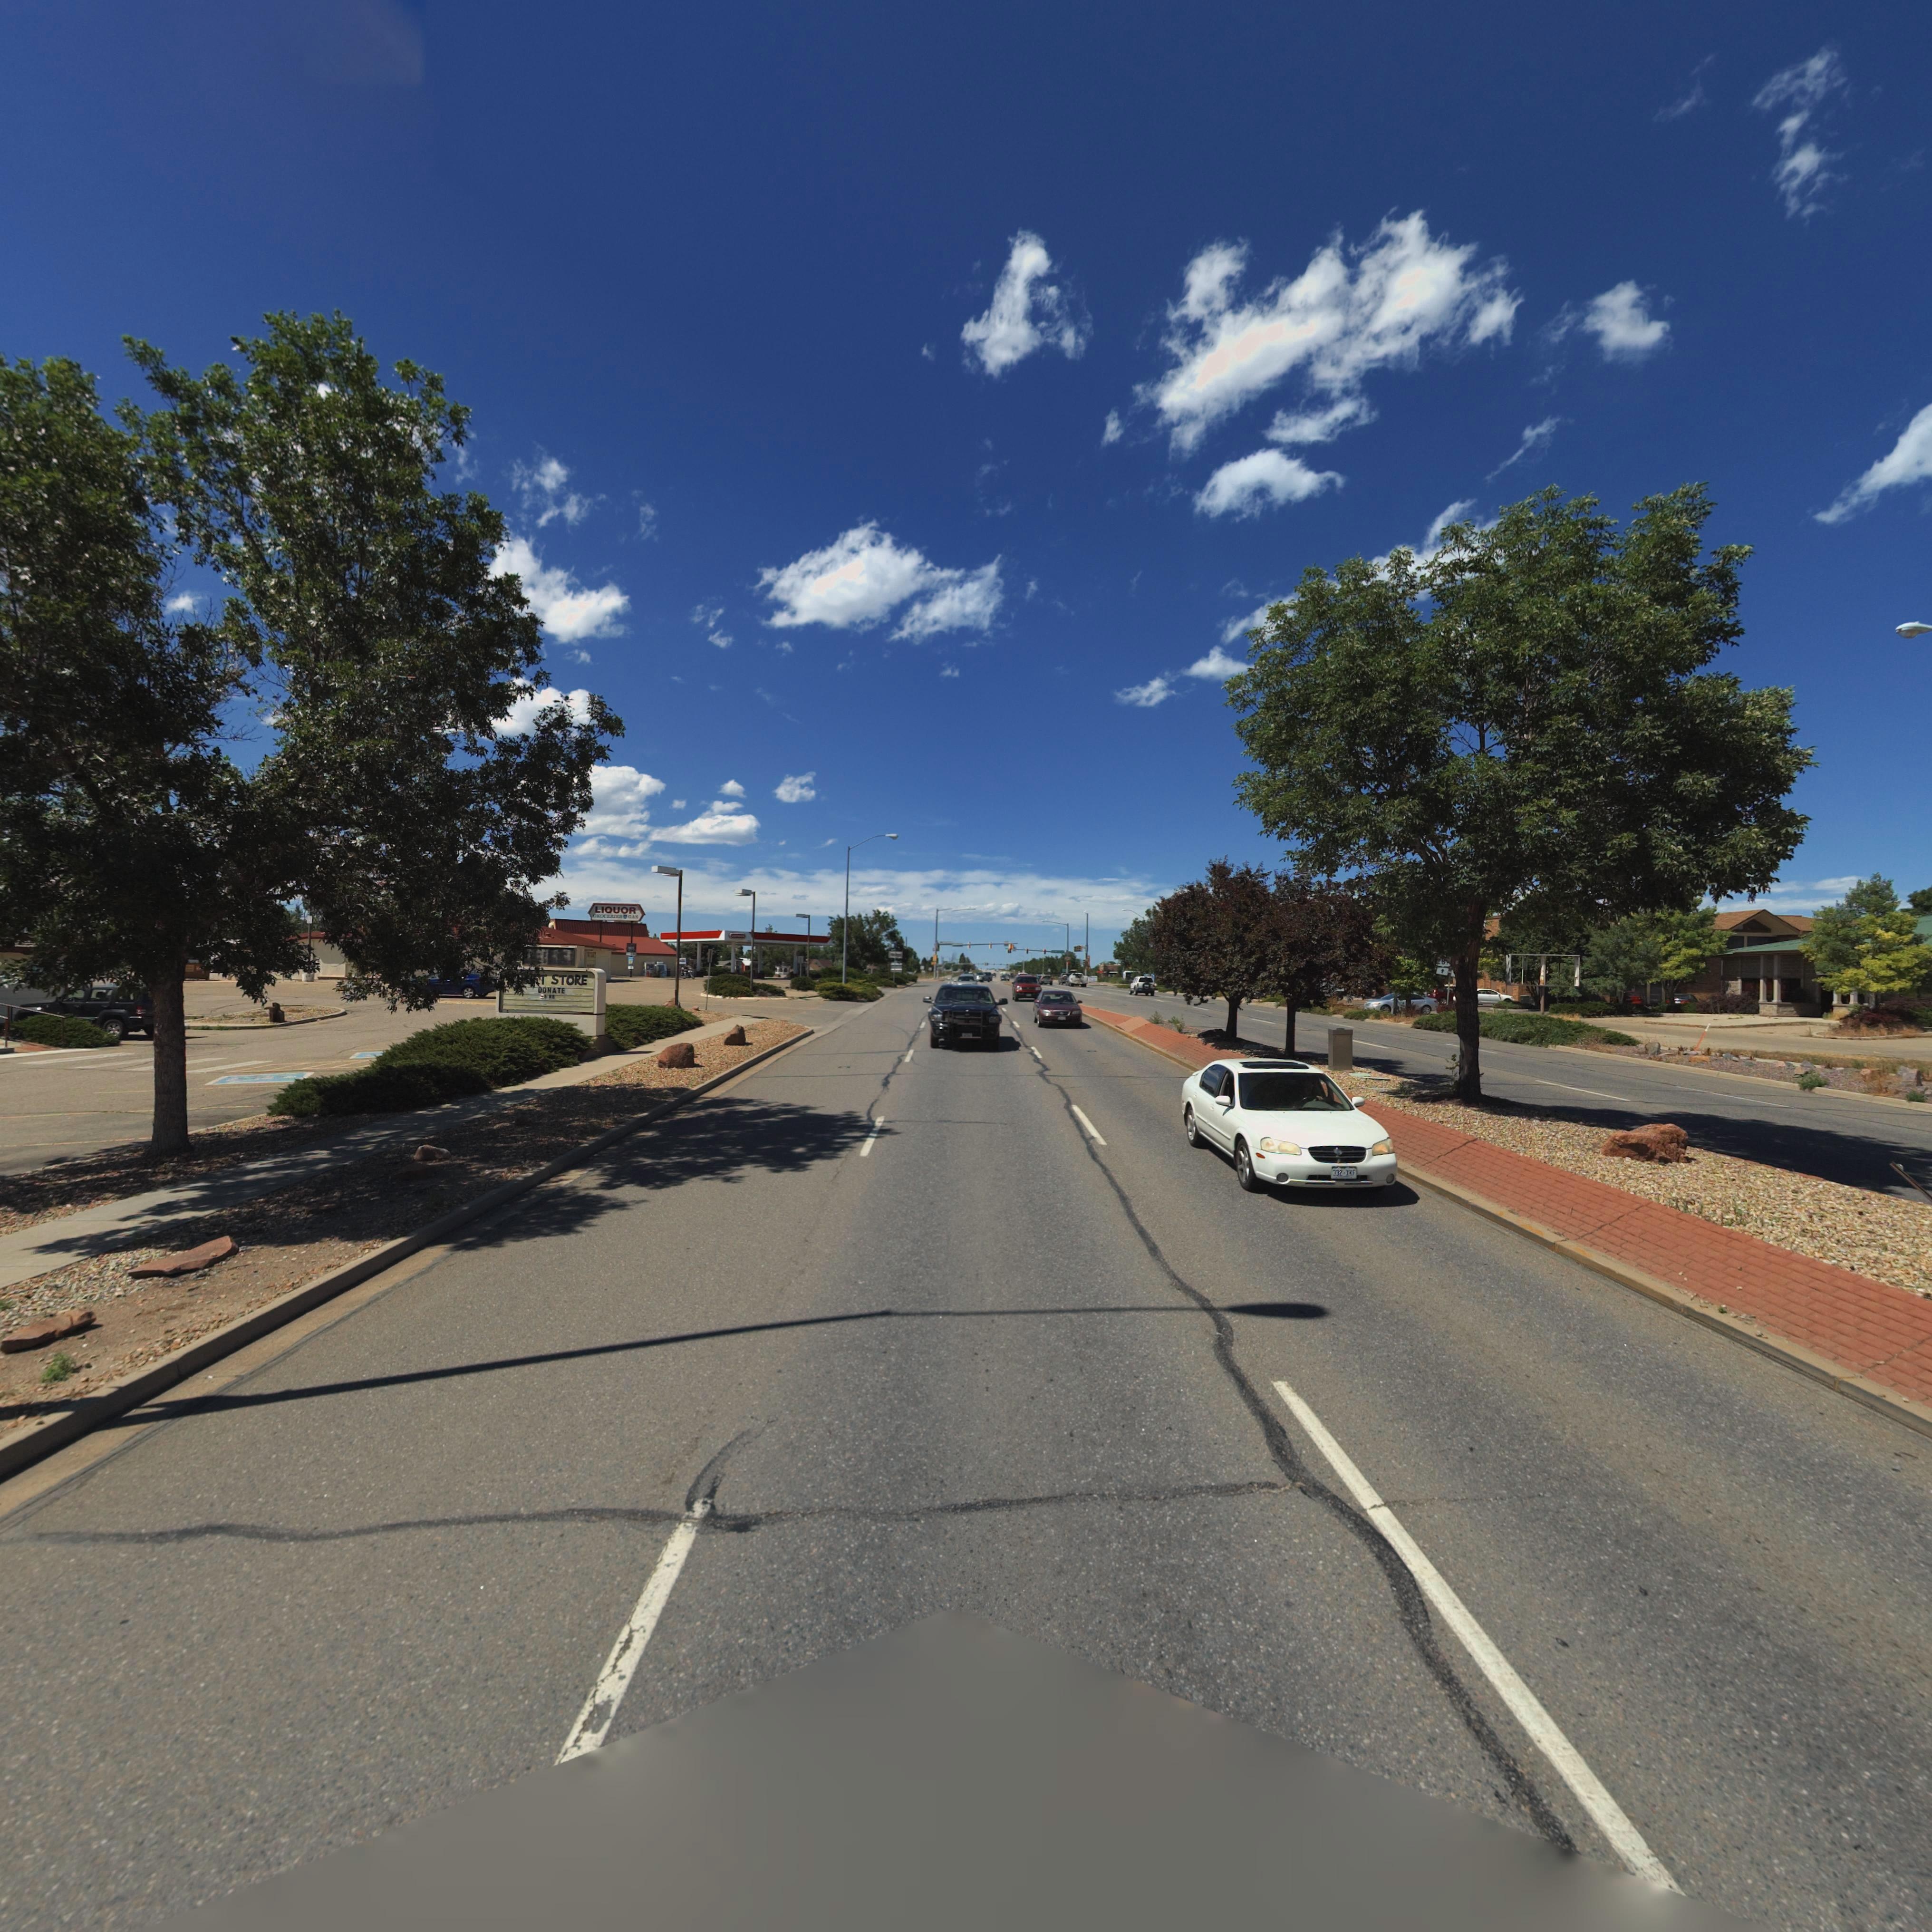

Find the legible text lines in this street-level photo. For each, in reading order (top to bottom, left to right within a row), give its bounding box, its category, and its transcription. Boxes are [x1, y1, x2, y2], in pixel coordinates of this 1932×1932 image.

[731, 934, 744, 937] BusinessName: conoco